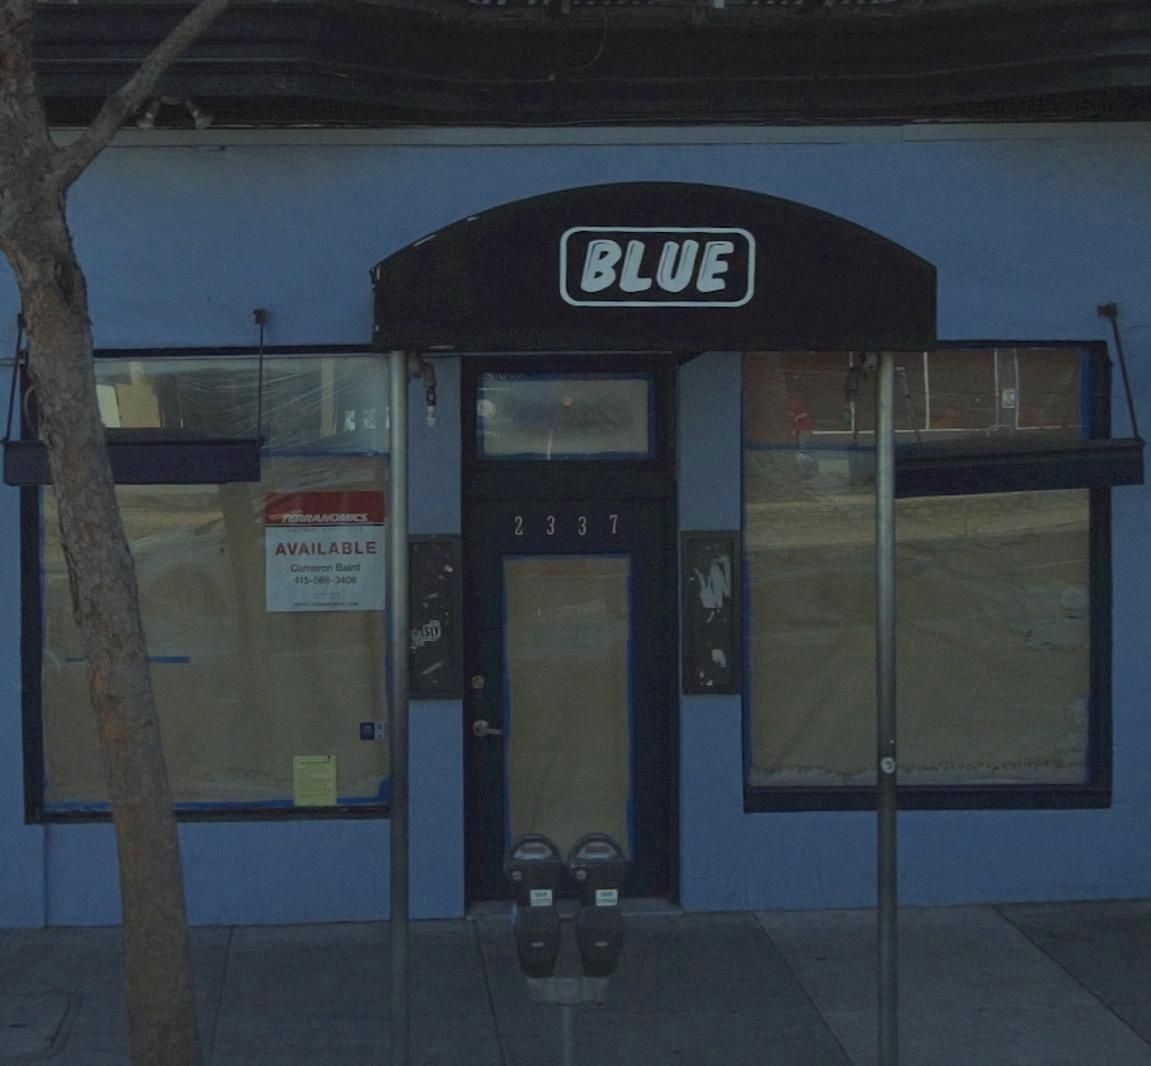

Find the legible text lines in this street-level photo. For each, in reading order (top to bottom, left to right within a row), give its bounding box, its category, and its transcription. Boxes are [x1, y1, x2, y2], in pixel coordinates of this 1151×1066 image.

[577, 237, 738, 295] None: BLUE
[513, 513, 620, 536] StreetNumber: 2337
[273, 540, 378, 556] None: AVAILABLE